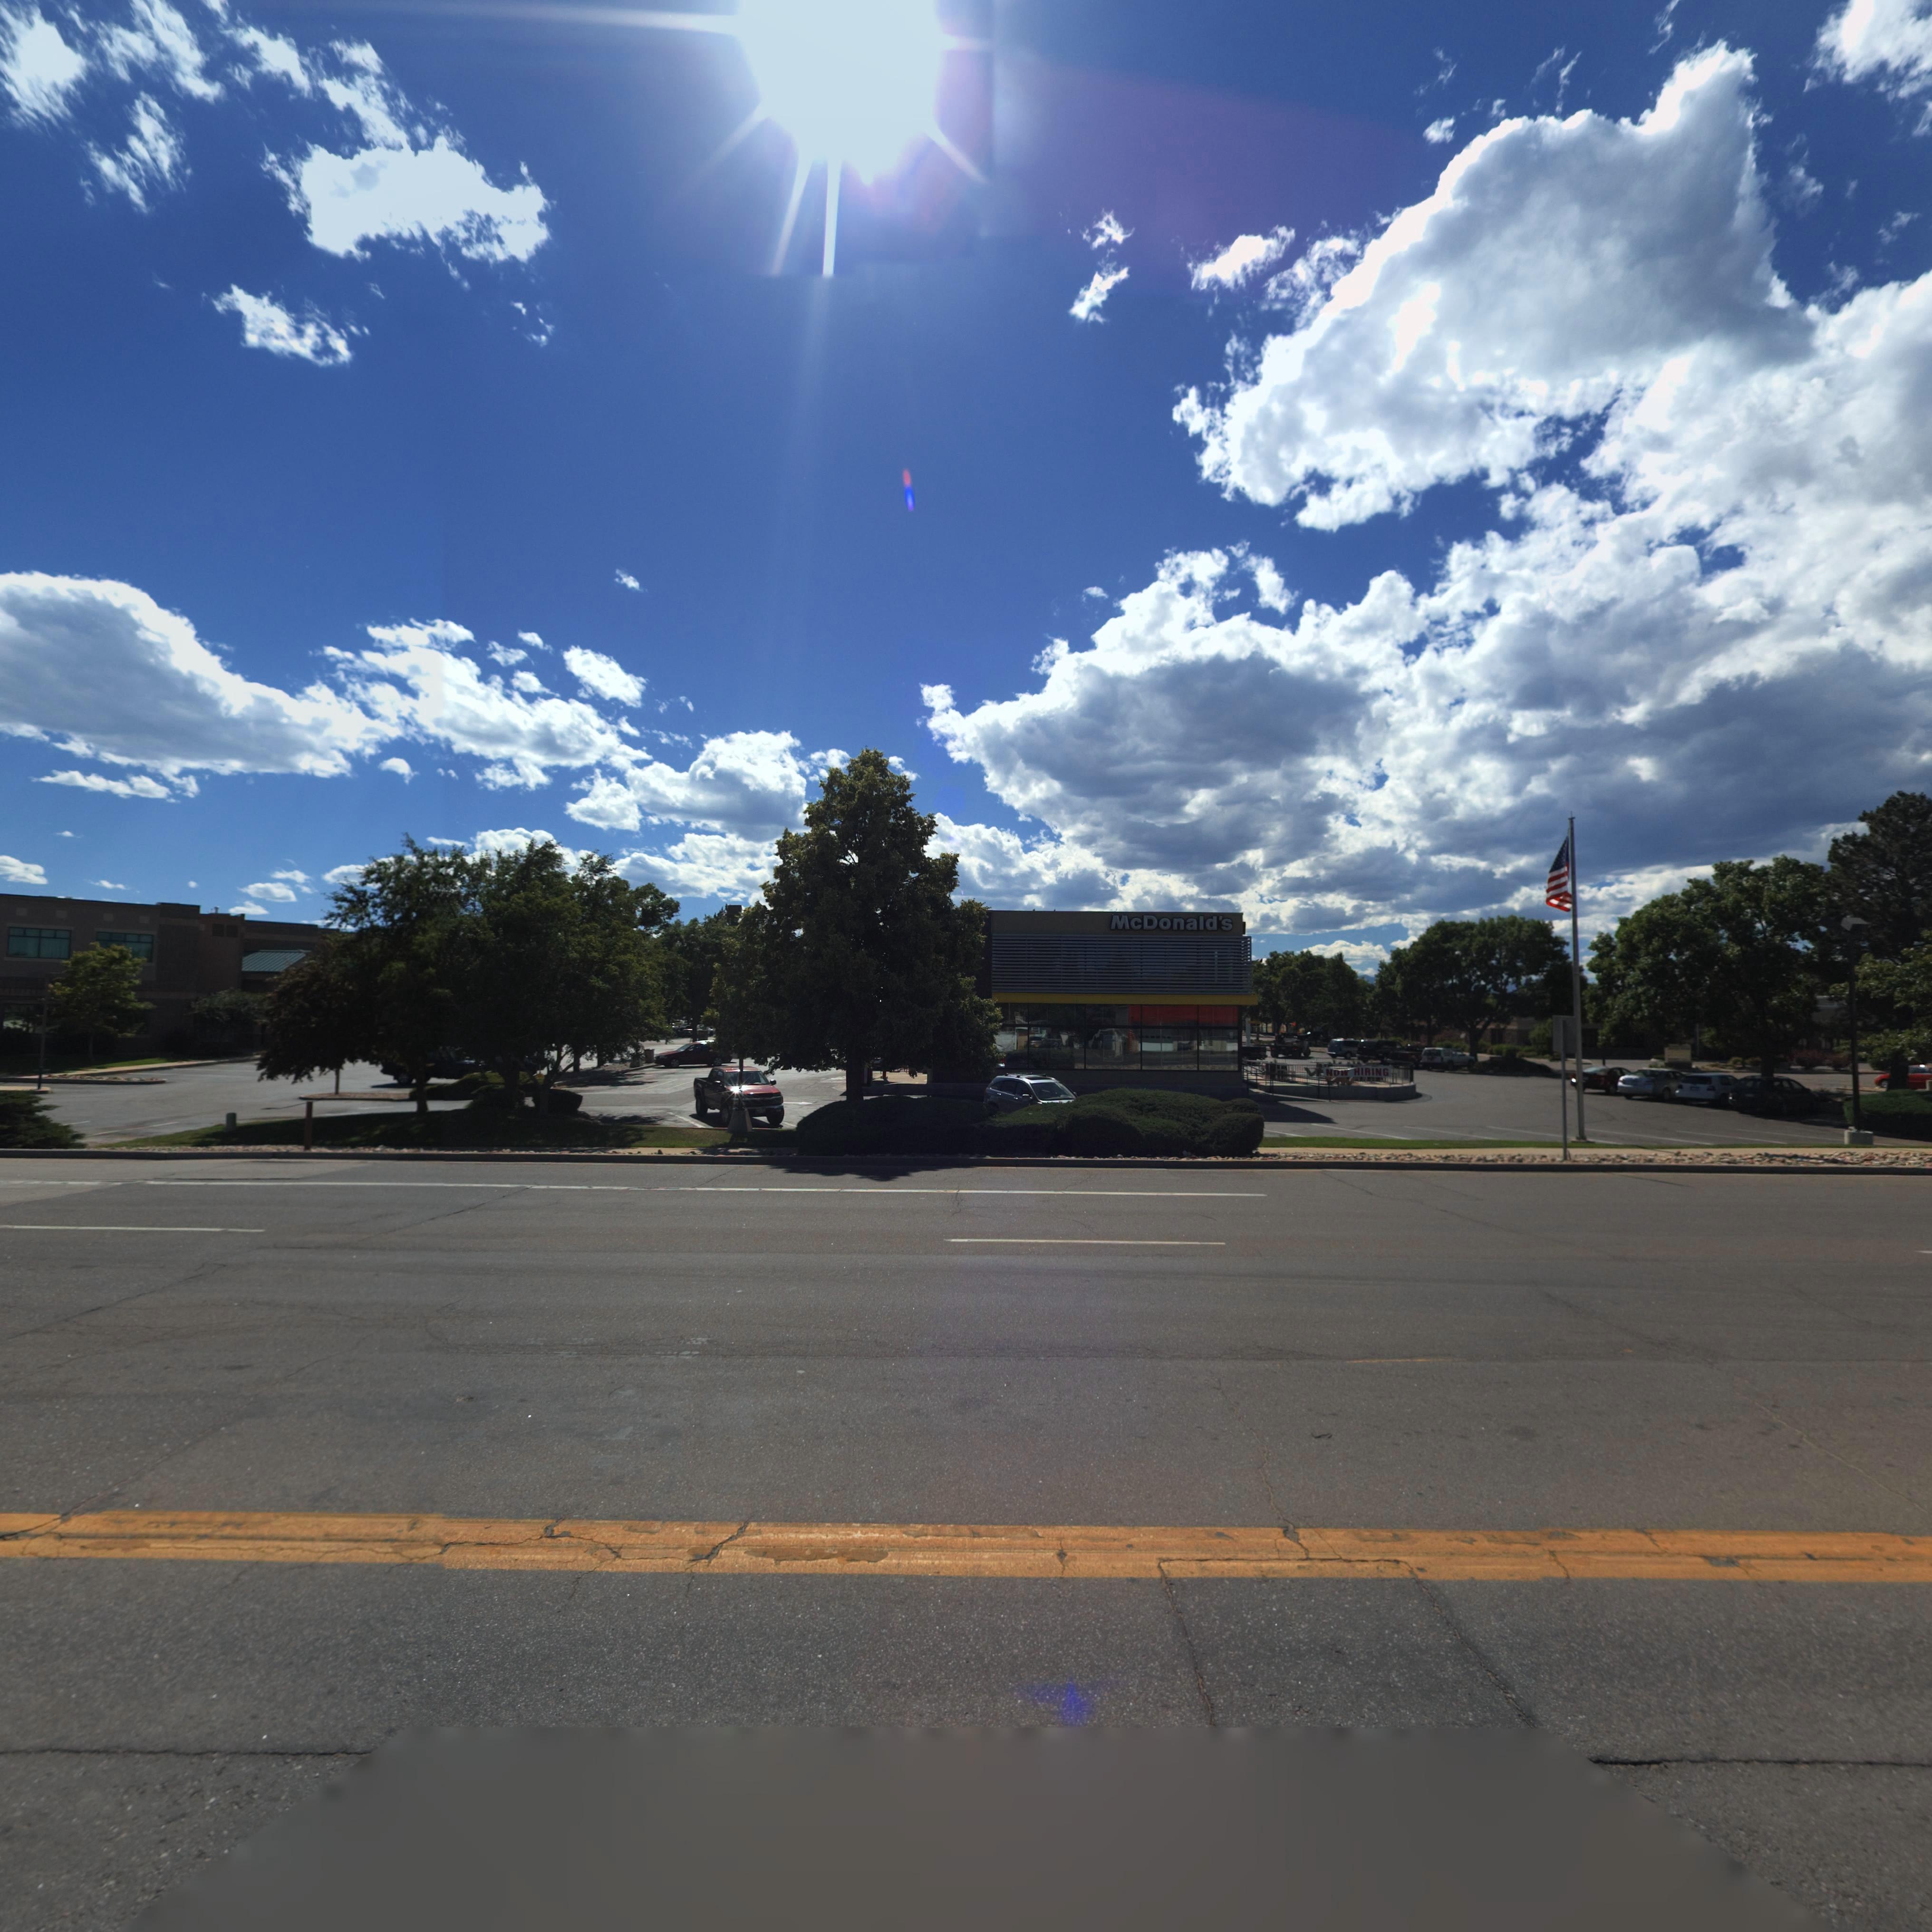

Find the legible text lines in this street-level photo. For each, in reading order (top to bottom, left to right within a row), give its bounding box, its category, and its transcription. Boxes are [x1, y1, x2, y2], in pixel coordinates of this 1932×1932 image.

[1110, 914, 1233, 931] BusinessName: McDonald's